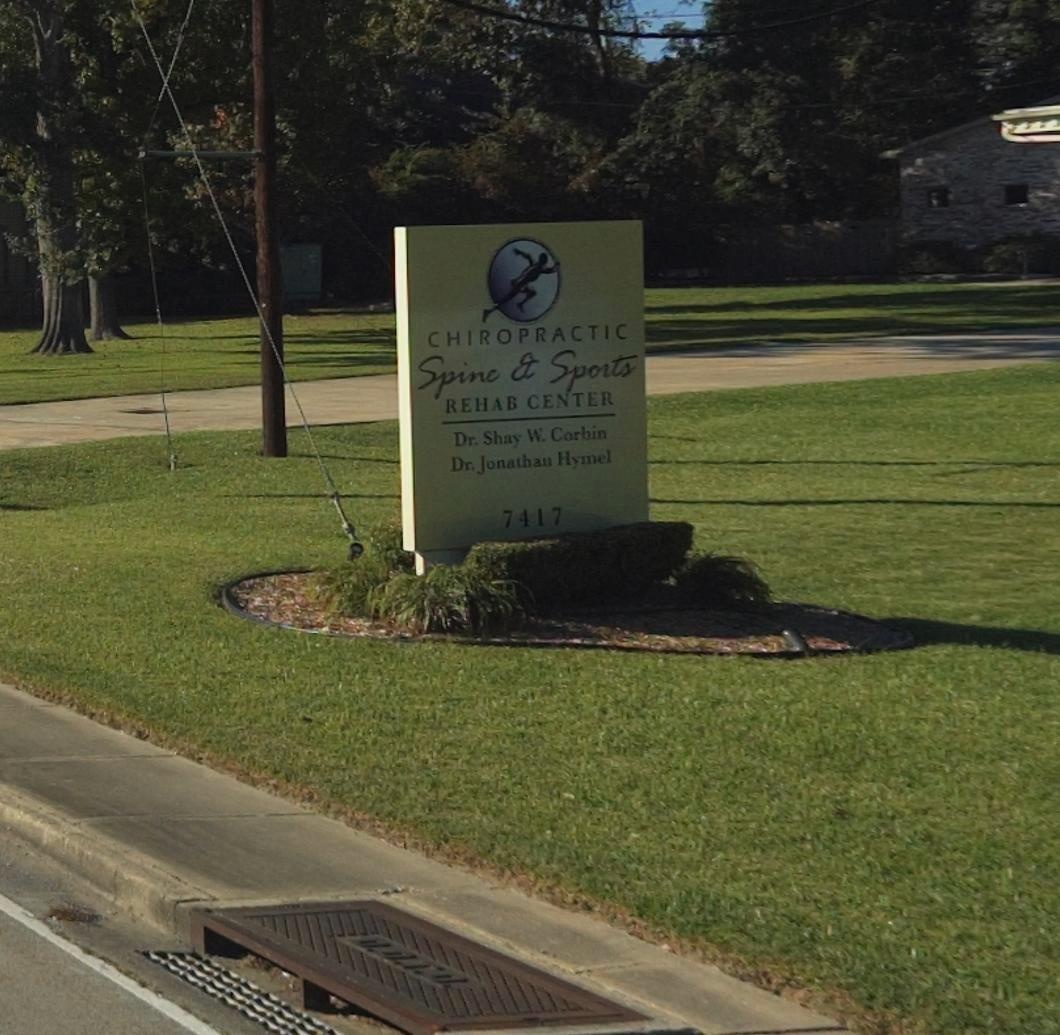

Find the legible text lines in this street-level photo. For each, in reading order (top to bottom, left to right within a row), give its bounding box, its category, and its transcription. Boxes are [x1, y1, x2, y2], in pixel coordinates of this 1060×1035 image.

[426, 323, 629, 349] BusinessName: CHIROPRACTIC
[415, 348, 639, 402] BusinessName: Spine & Sports
[444, 389, 616, 414] BusinessName: REHAB CENTER
[451, 423, 608, 450] None: Dr. Shay W. Corbin
[449, 446, 614, 477] None: Dr. Jonathan Hymel
[501, 505, 564, 530] StreetNumber: 7417